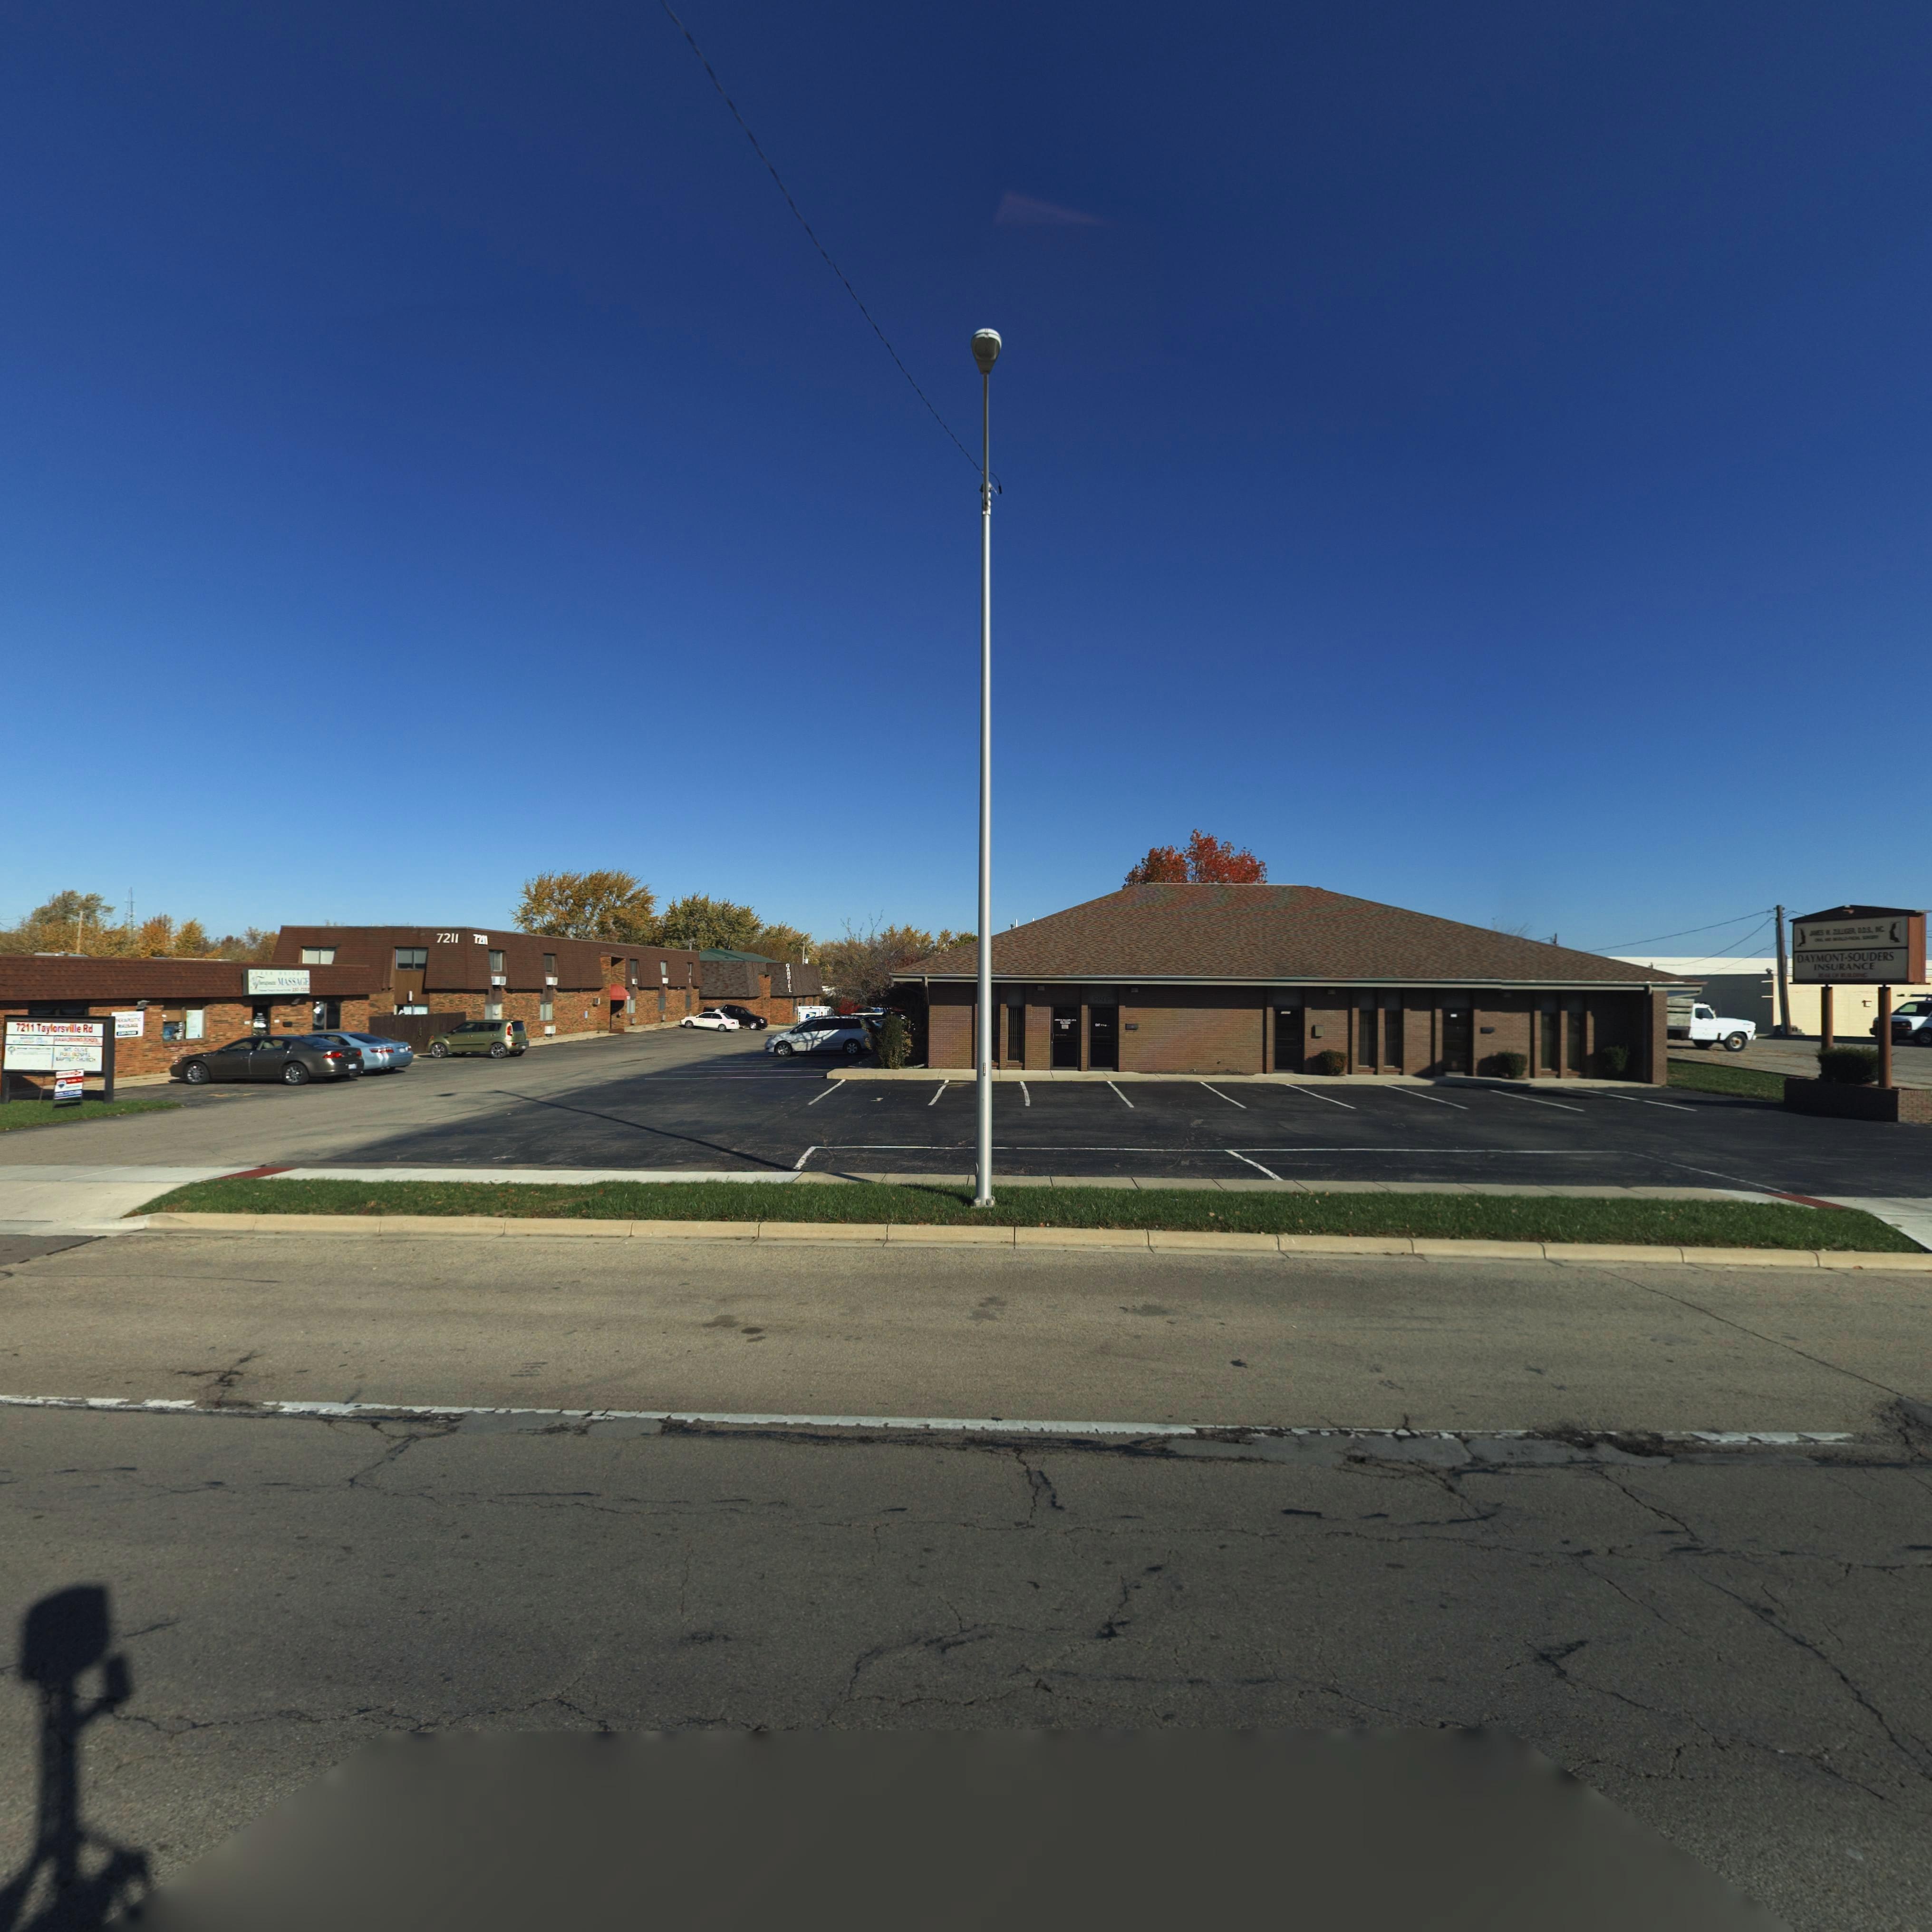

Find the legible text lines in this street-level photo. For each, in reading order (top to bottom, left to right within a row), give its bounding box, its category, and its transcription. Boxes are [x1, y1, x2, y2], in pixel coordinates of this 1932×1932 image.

[435, 932, 460, 945] StreetNumber: 7211
[472, 933, 489, 947] StreetNumber: 7211
[1797, 951, 1895, 964] BusinessName: DAYMONT-SOUDERS
[1813, 962, 1876, 971] BusinessName: INSURANCE
[277, 977, 310, 986] BusinessName: MASSAGE
[15, 1022, 36, 1033] StreetNumber: 7211
[36, 1023, 93, 1035] StreetName: Taylorville Rd